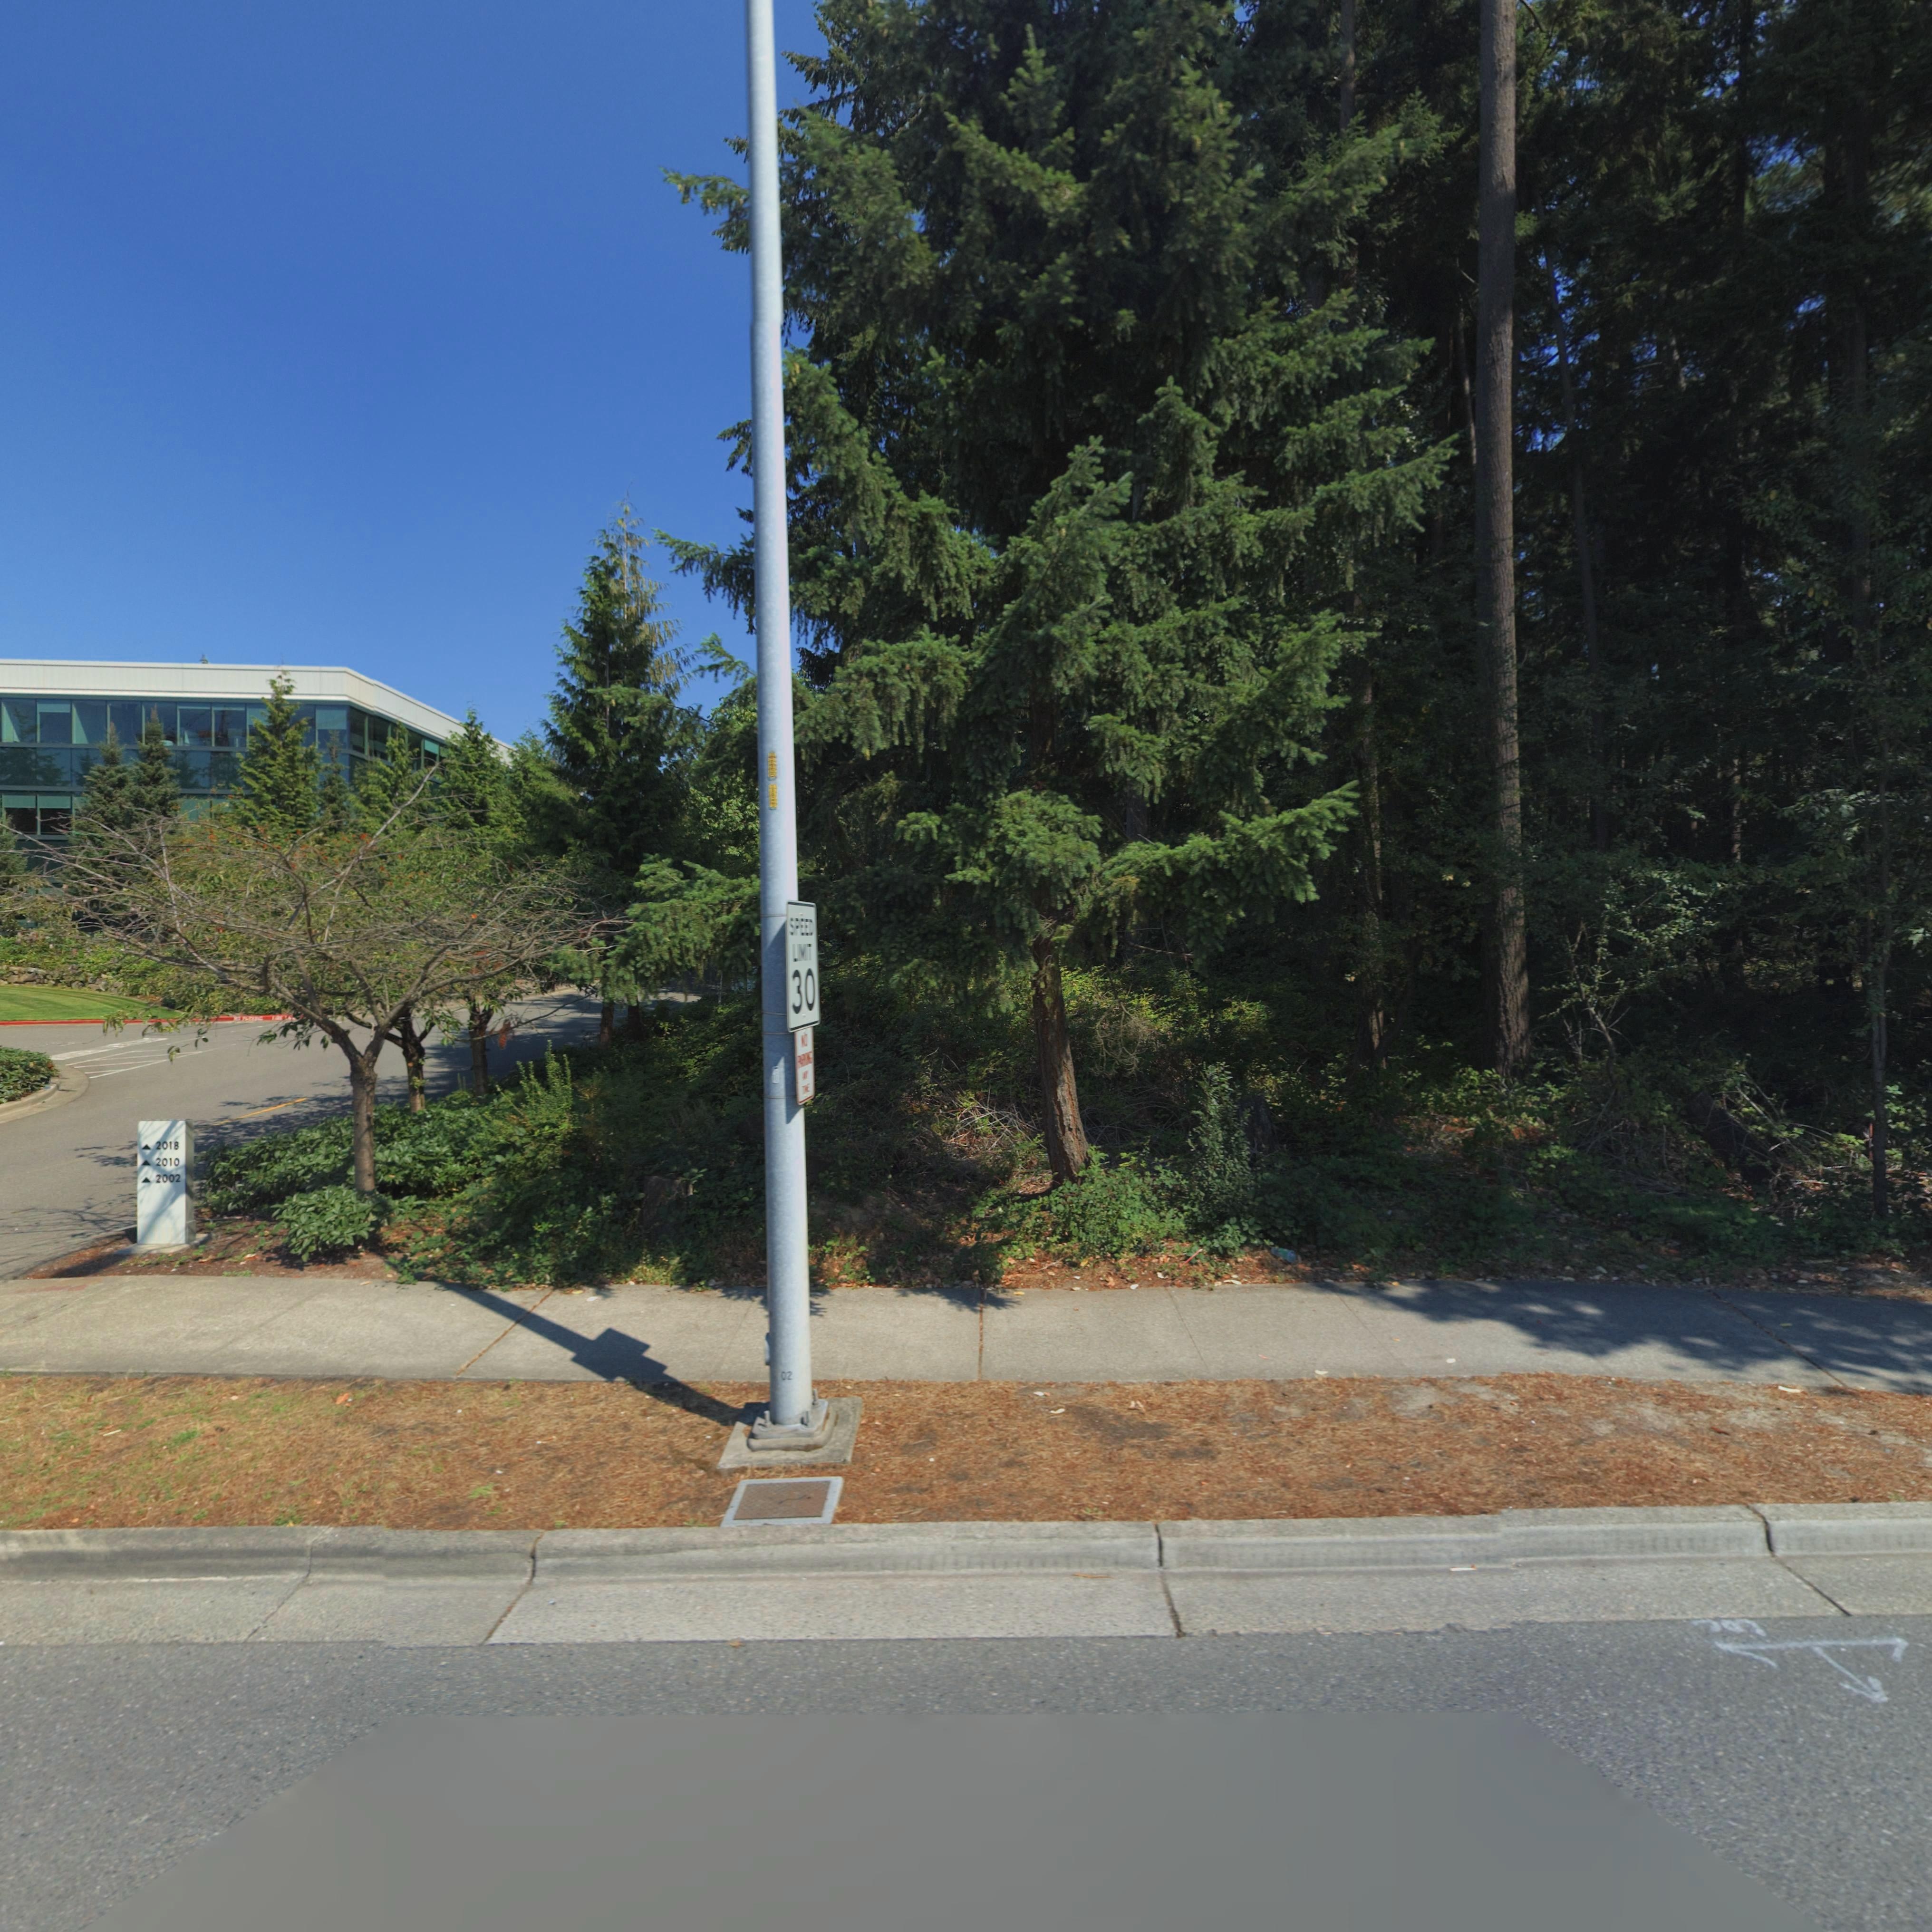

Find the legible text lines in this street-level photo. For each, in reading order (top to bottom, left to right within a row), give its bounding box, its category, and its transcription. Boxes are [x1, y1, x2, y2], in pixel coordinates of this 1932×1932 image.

[156, 1141, 179, 1150] StreetNumber: 2018
[154, 1155, 183, 1168] StreetNumber: 2010
[155, 1173, 181, 1185] StreetNumber: 2002